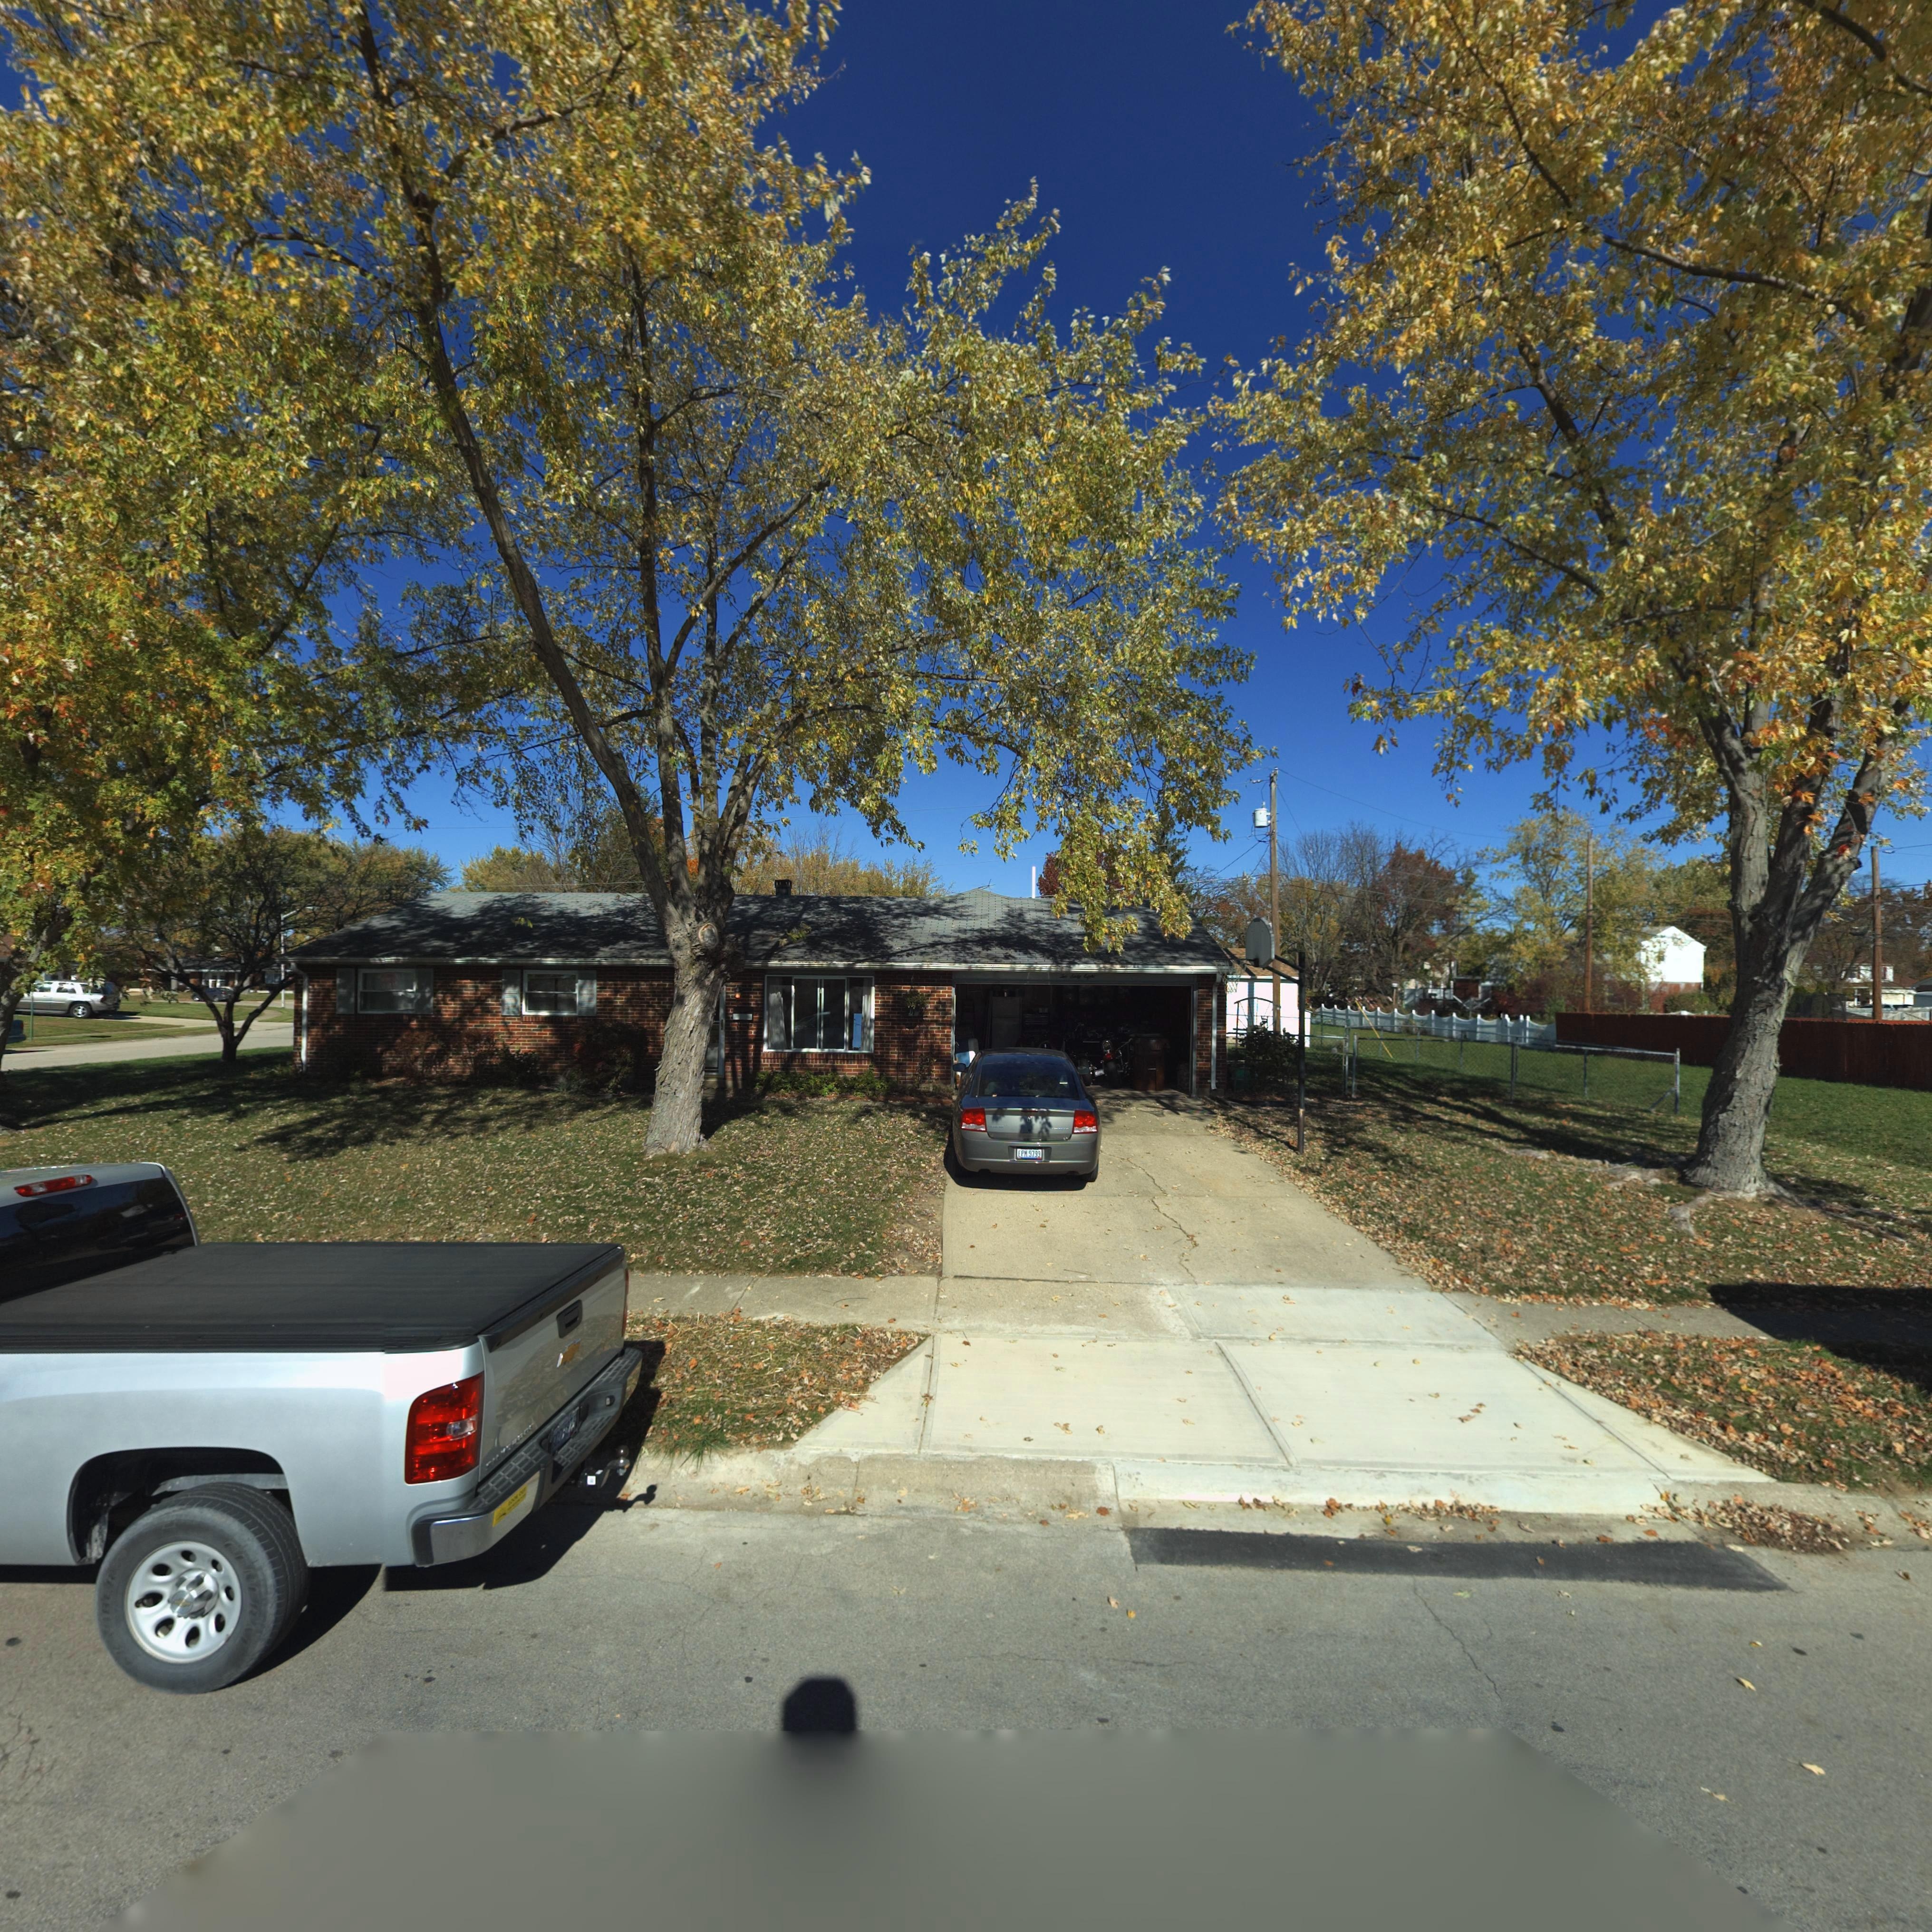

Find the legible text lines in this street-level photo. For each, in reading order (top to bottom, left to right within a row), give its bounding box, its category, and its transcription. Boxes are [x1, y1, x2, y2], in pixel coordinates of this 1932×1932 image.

[1058, 973, 1096, 981] StreetNumber: Two Sixty Eight